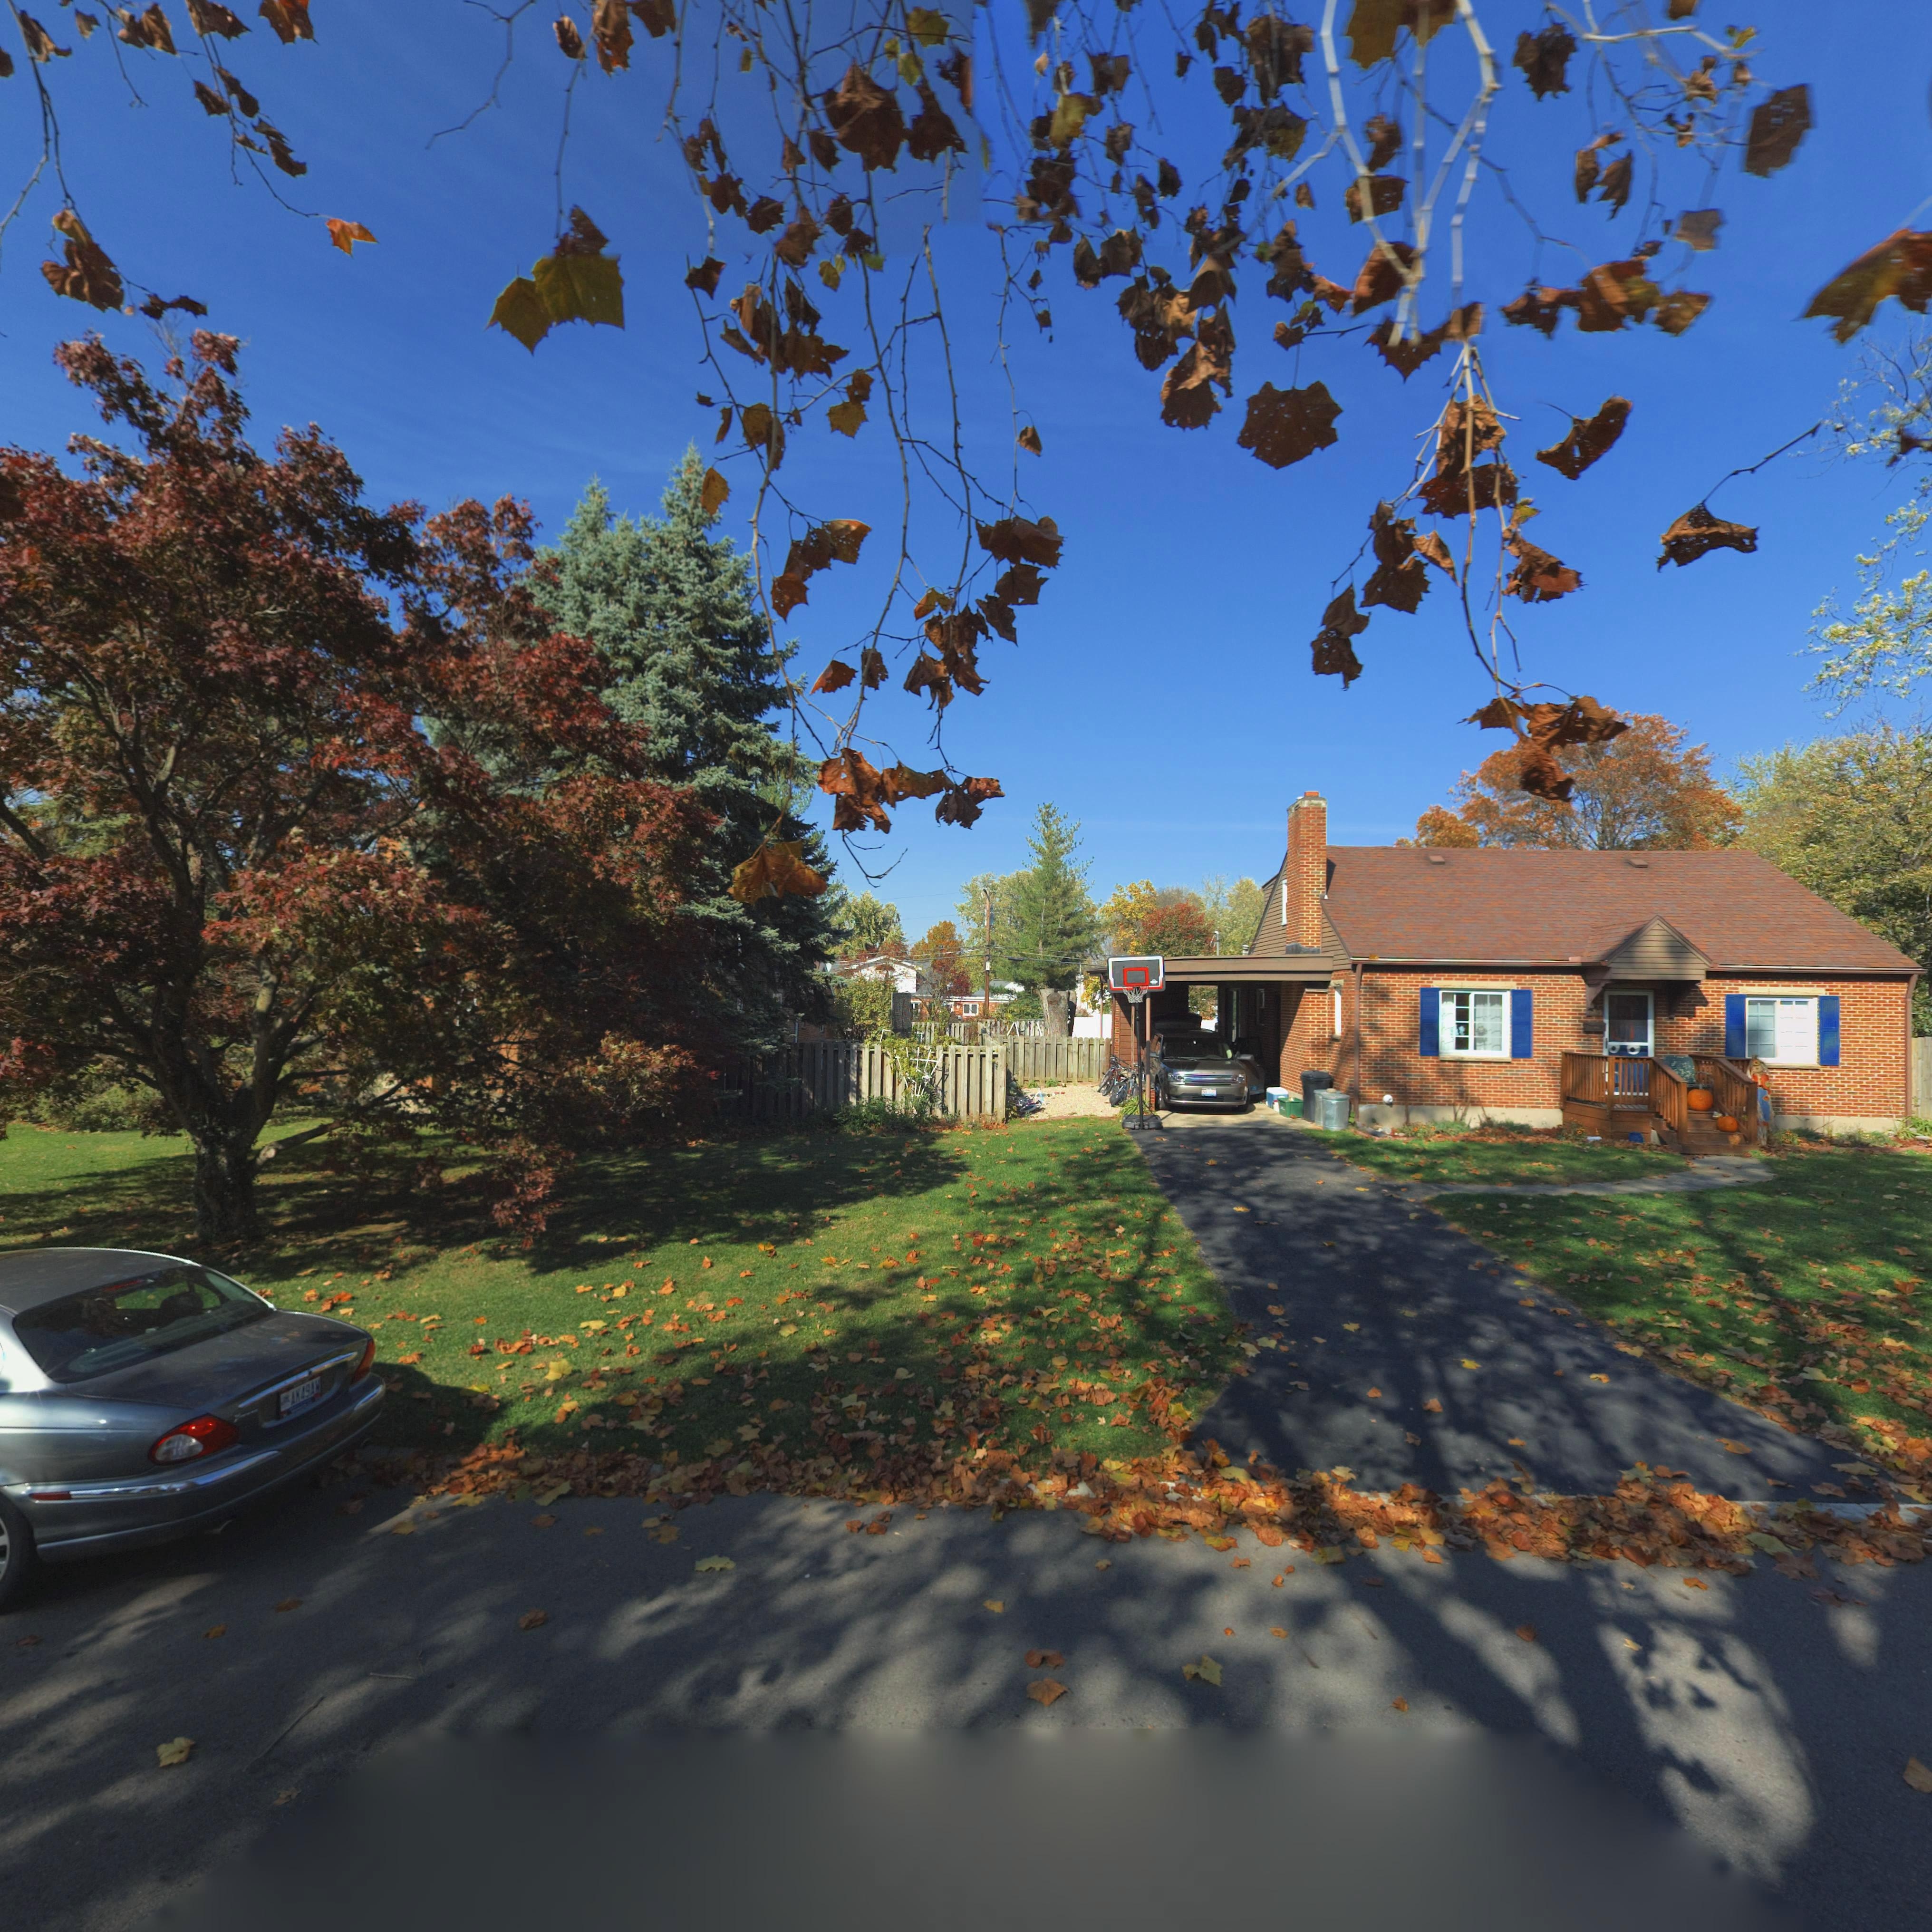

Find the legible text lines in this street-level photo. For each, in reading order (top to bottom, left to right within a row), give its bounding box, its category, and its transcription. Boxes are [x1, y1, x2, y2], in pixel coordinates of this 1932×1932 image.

[290, 1378, 321, 1407] None: AK49AW